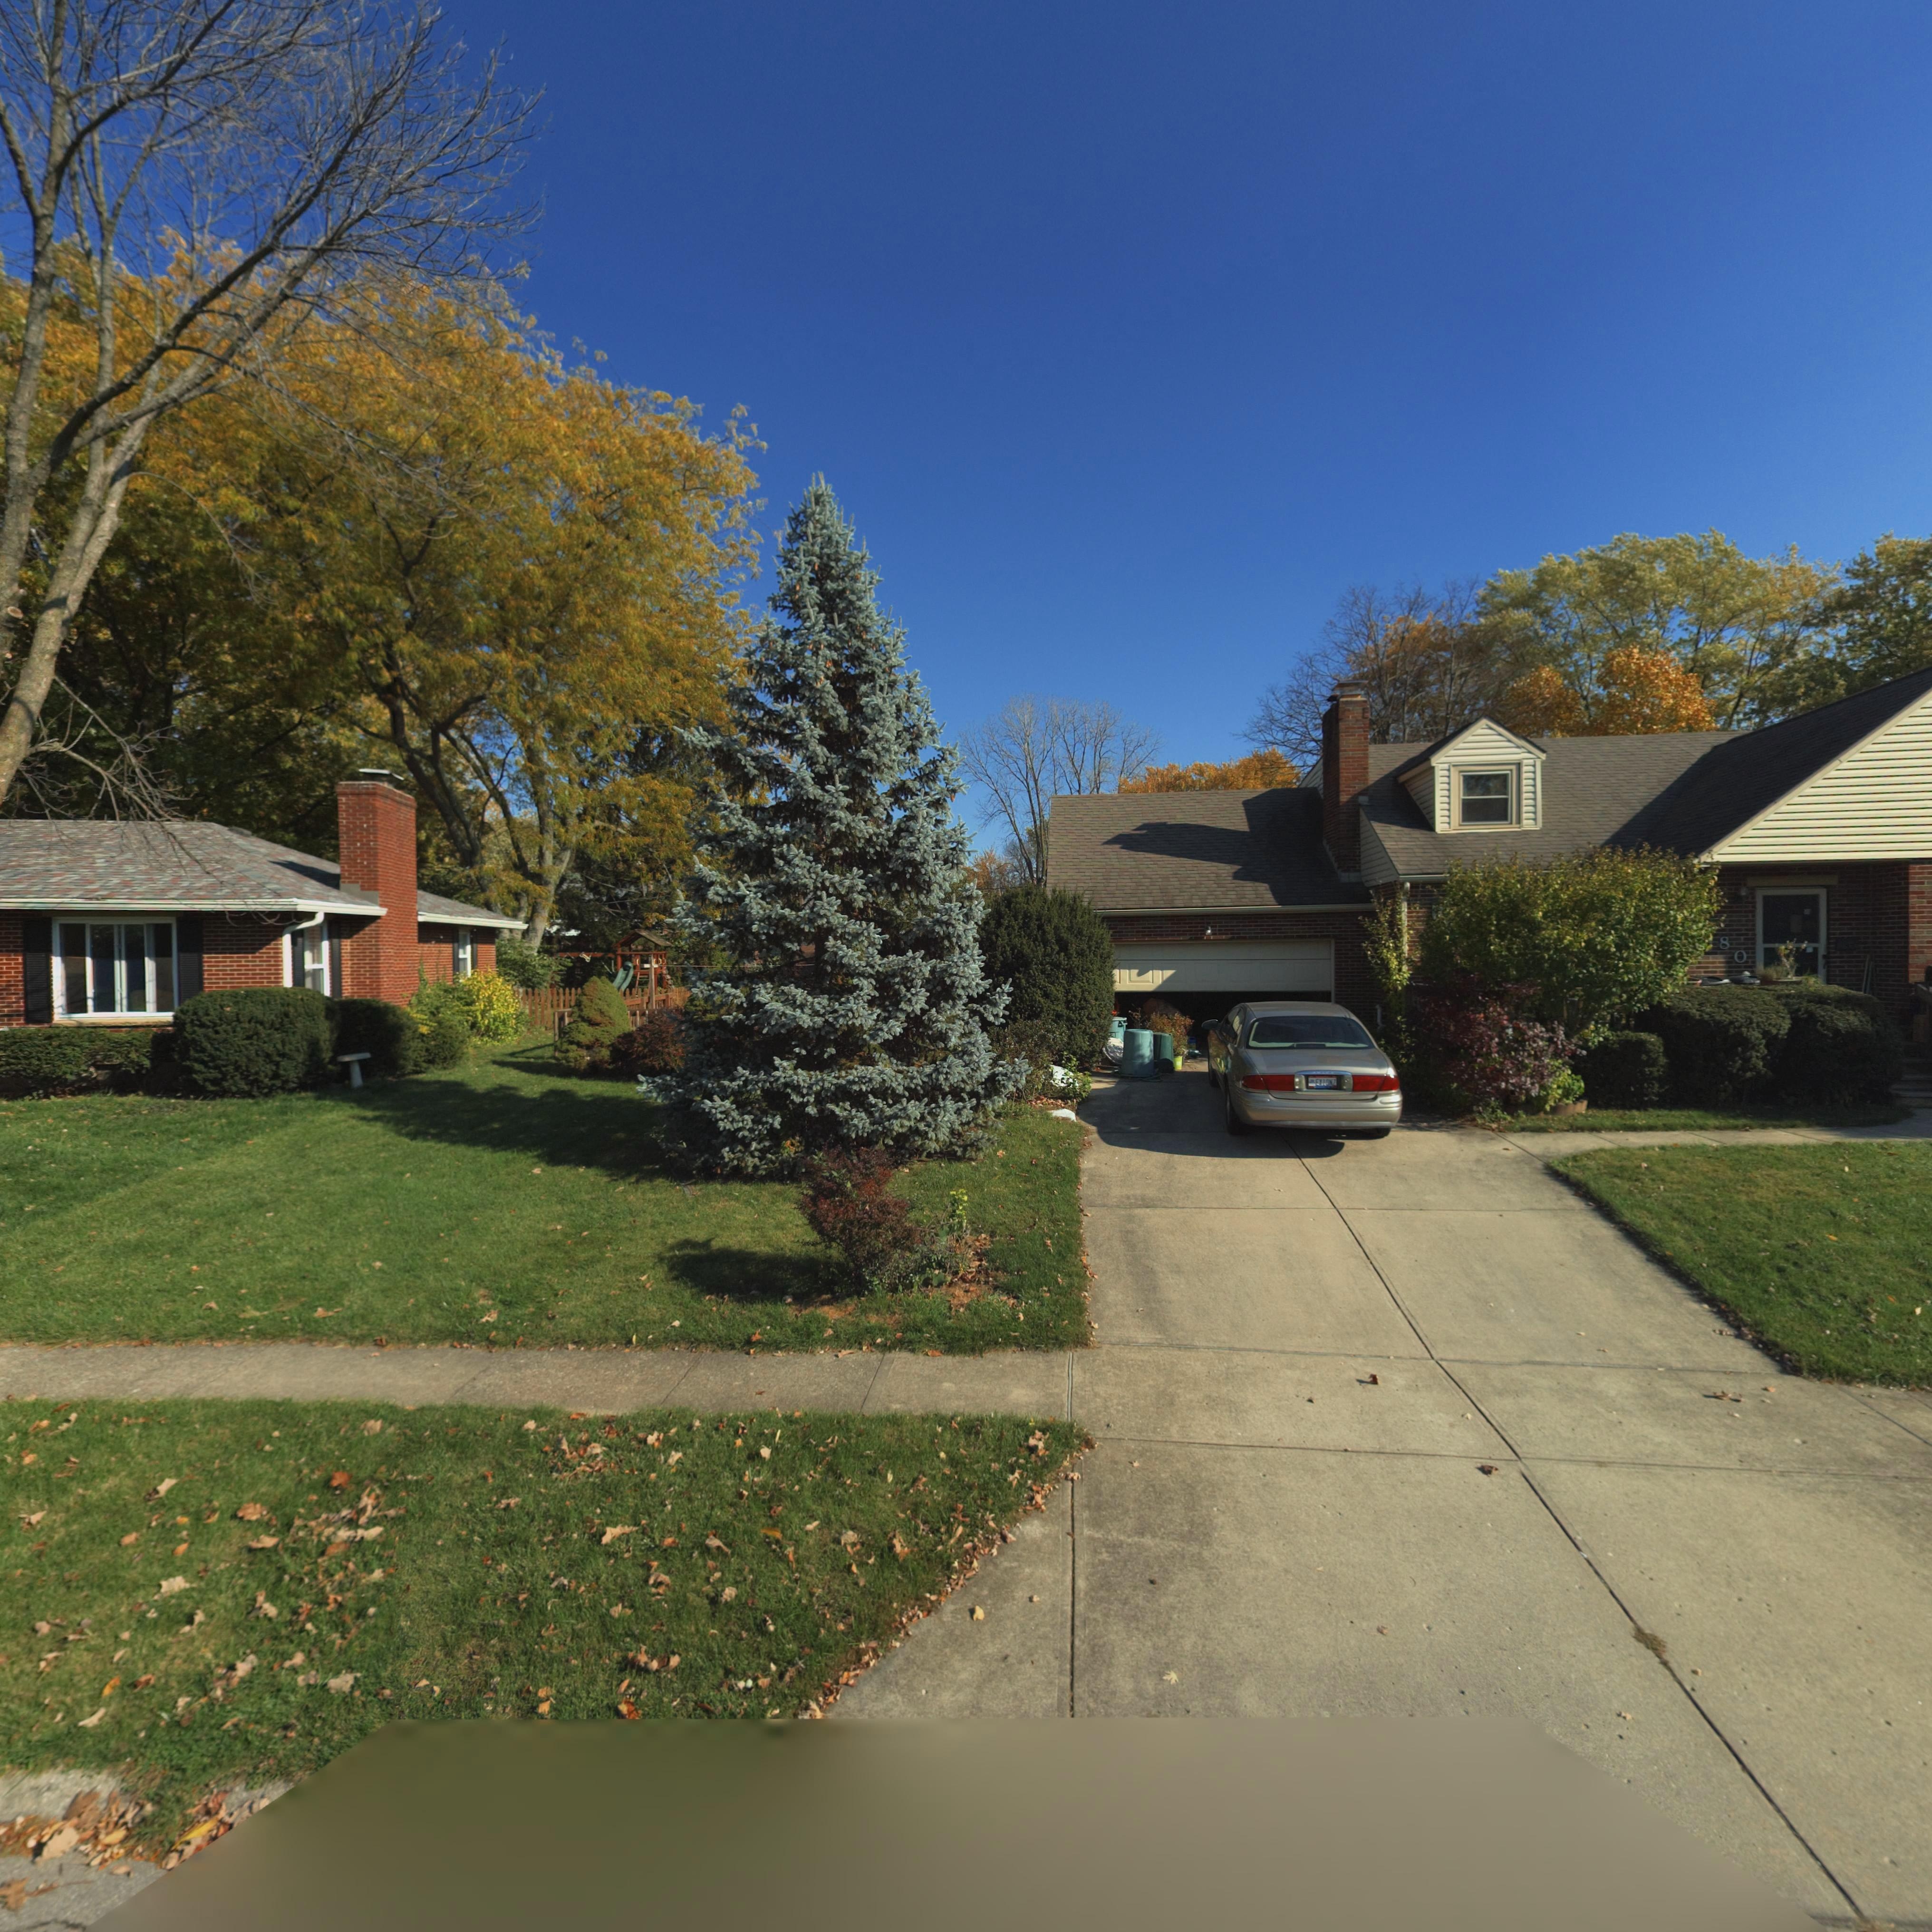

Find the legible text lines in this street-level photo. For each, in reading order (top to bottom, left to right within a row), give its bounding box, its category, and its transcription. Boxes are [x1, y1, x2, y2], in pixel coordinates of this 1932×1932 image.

[1719, 936, 1748, 964] StreetNumber: 80
[1315, 1078, 1337, 1086] None: EX10NZ